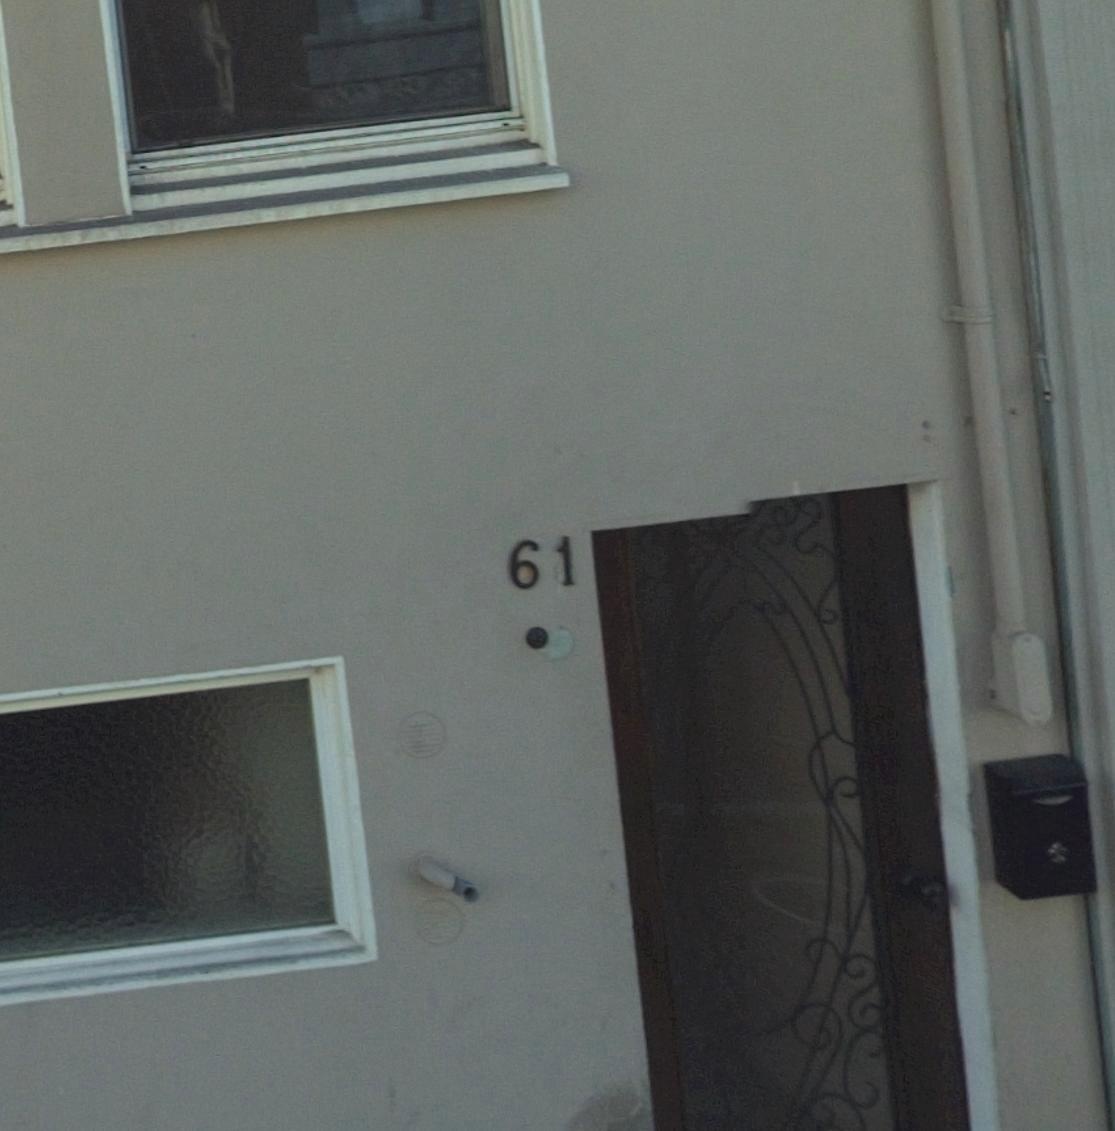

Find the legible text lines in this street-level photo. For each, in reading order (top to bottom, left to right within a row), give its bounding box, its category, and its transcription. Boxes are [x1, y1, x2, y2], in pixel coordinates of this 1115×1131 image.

[507, 531, 578, 592] StreetNumber: 61